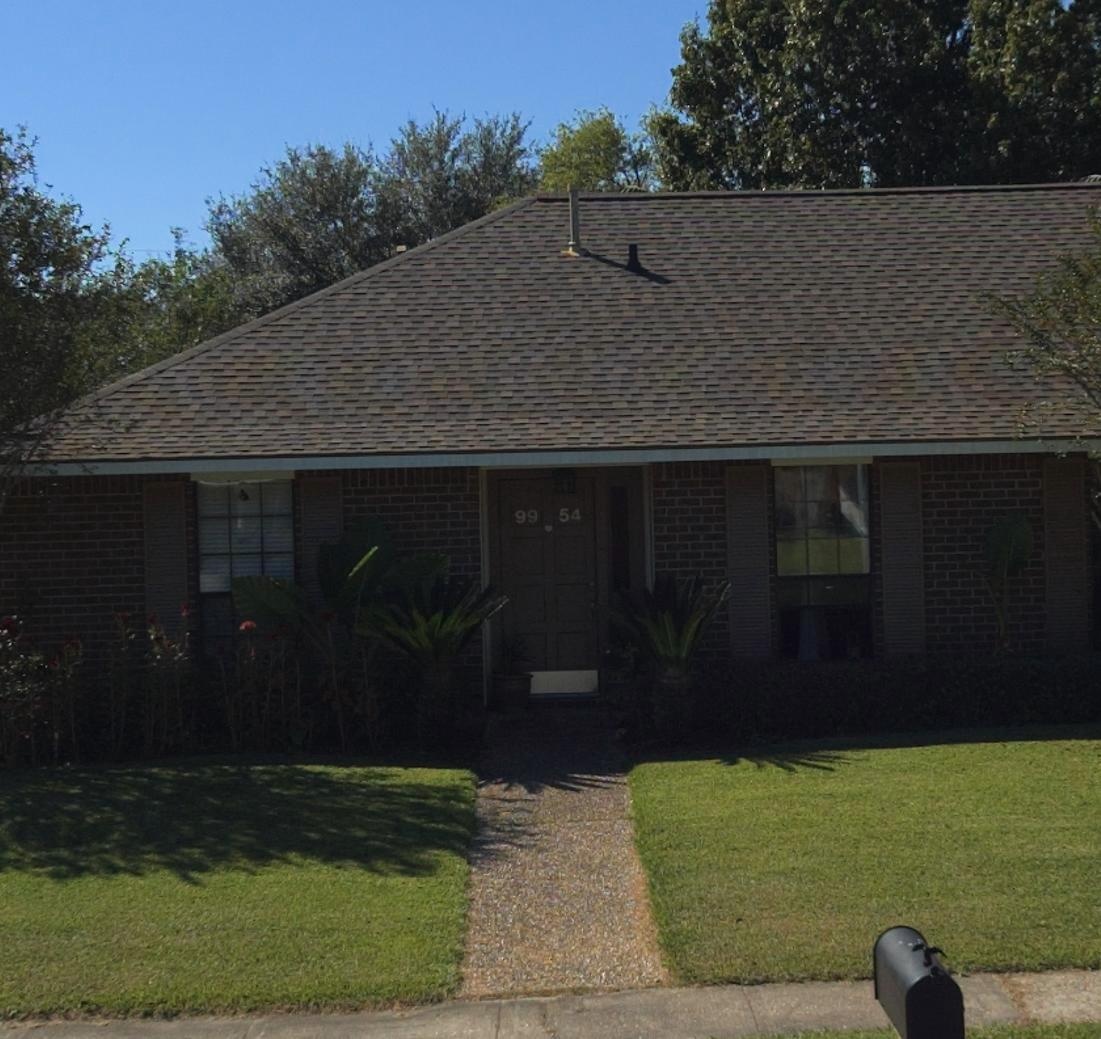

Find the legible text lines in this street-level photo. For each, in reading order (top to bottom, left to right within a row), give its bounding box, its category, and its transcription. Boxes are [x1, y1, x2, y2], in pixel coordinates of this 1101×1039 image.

[514, 507, 583, 525] StreetNumber: 9954